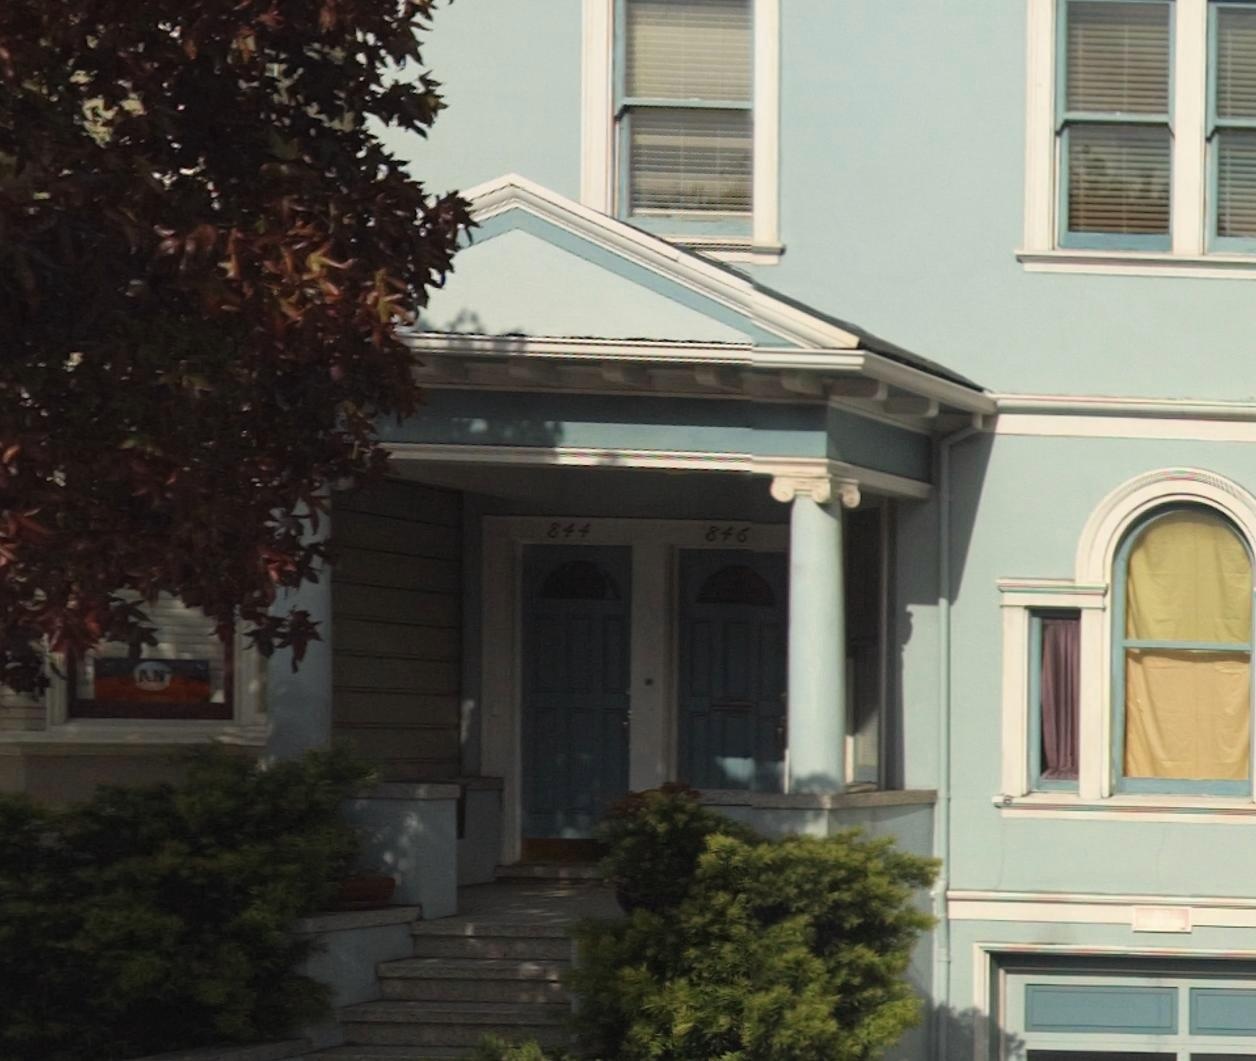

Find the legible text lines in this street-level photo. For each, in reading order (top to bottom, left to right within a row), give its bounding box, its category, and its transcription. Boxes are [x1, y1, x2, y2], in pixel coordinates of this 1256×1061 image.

[546, 521, 592, 540] StreetNumber: 844
[705, 524, 751, 544] StreetNumber: 846
[138, 667, 166, 684] None: AN